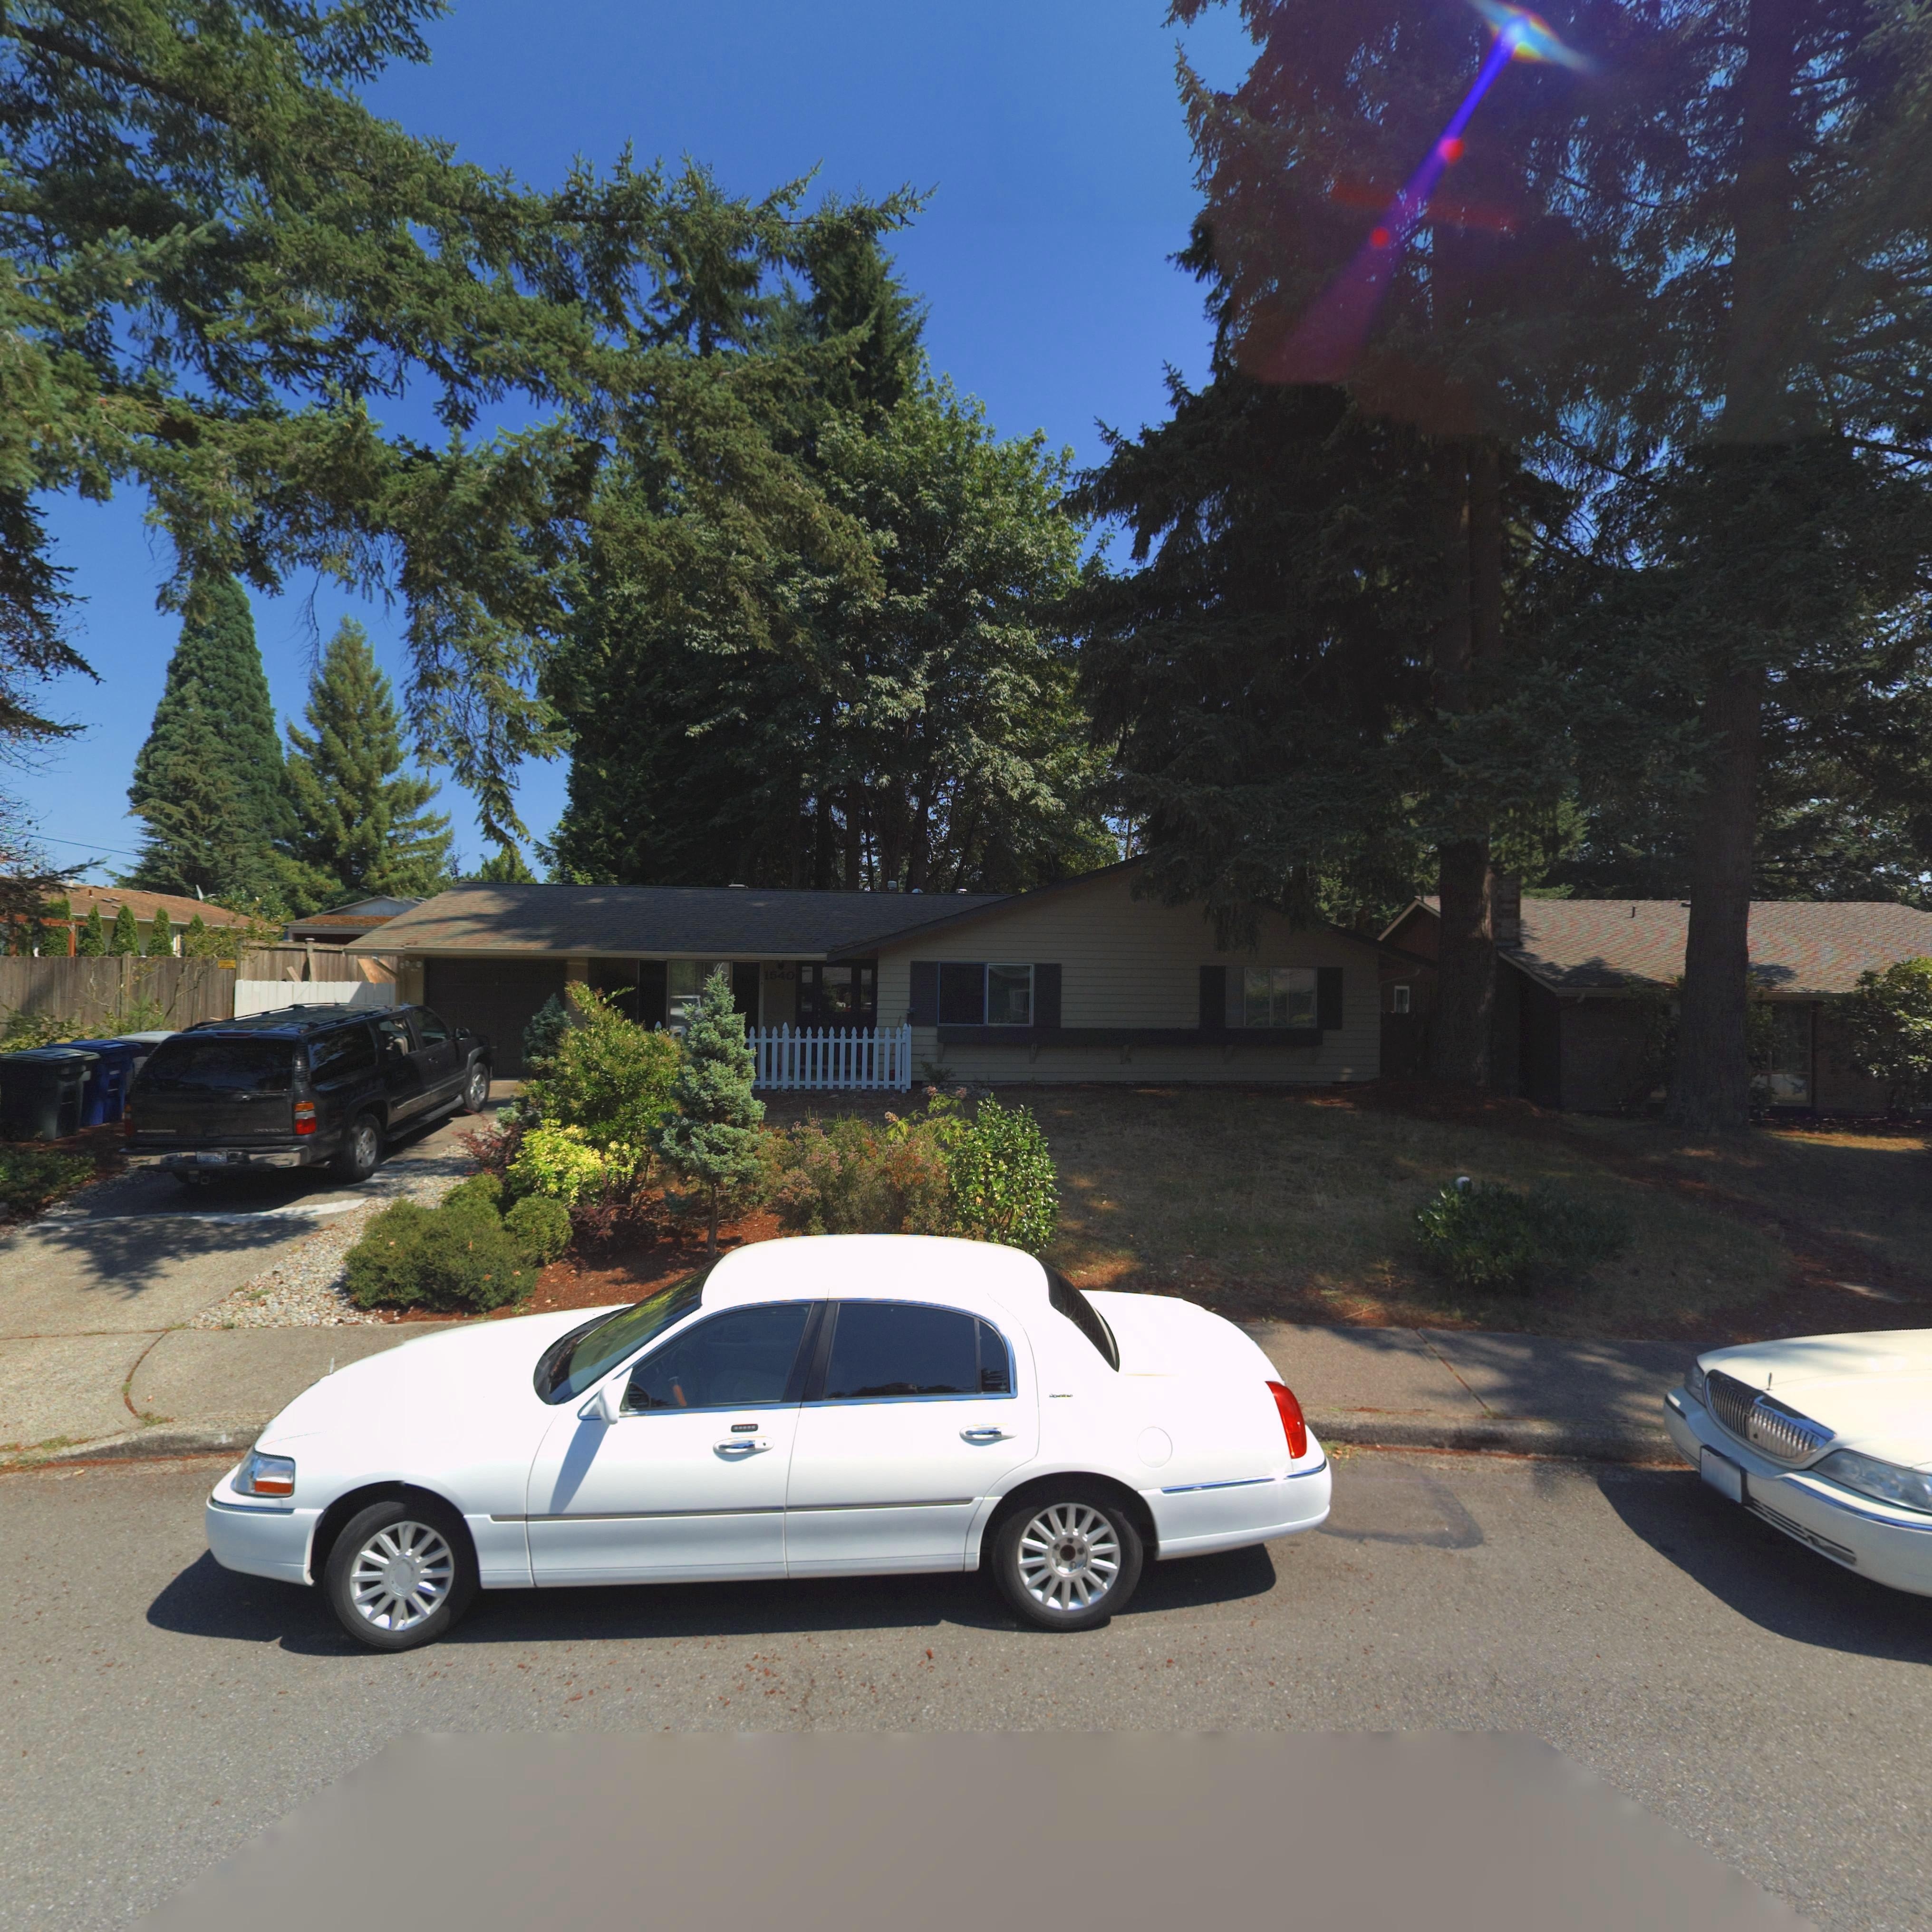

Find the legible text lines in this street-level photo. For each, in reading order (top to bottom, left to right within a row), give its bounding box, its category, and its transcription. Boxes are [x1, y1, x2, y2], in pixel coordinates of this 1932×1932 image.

[763, 970, 794, 981] StreetNumber: 1540